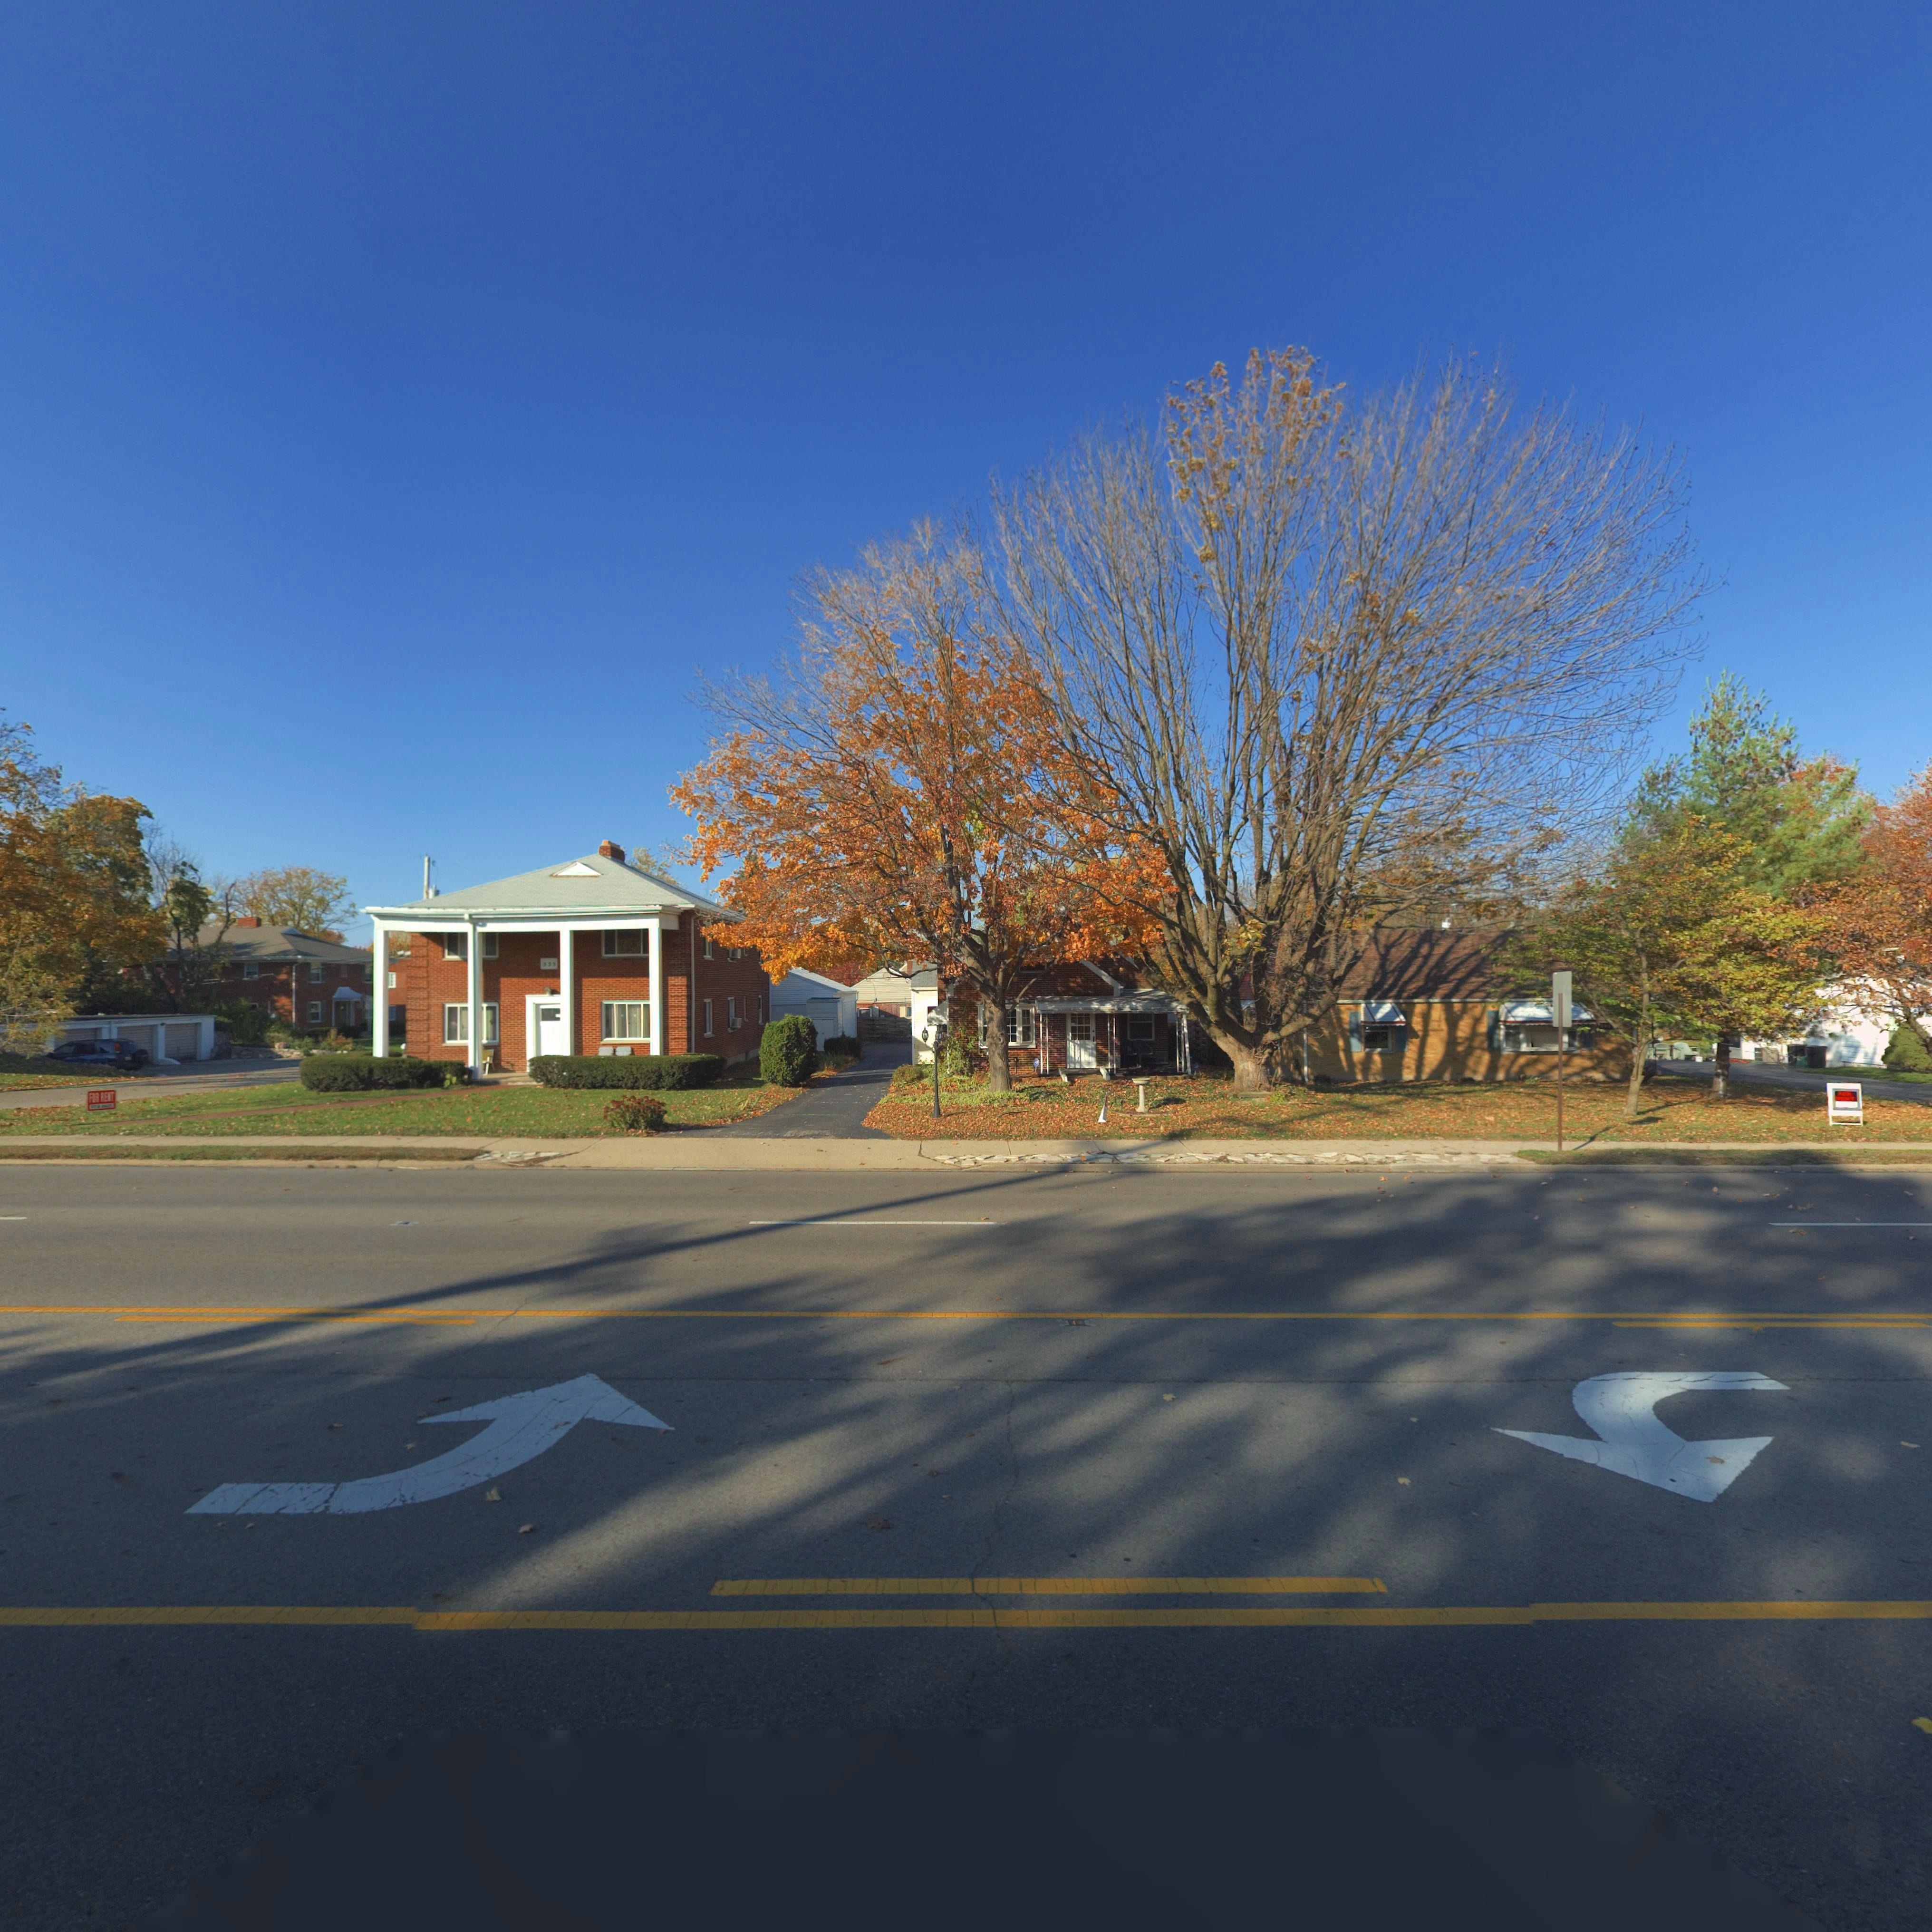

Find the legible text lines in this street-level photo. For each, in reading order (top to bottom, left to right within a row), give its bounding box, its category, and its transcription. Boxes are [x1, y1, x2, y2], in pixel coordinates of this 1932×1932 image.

[542, 961, 556, 968] StreetNumber: 555